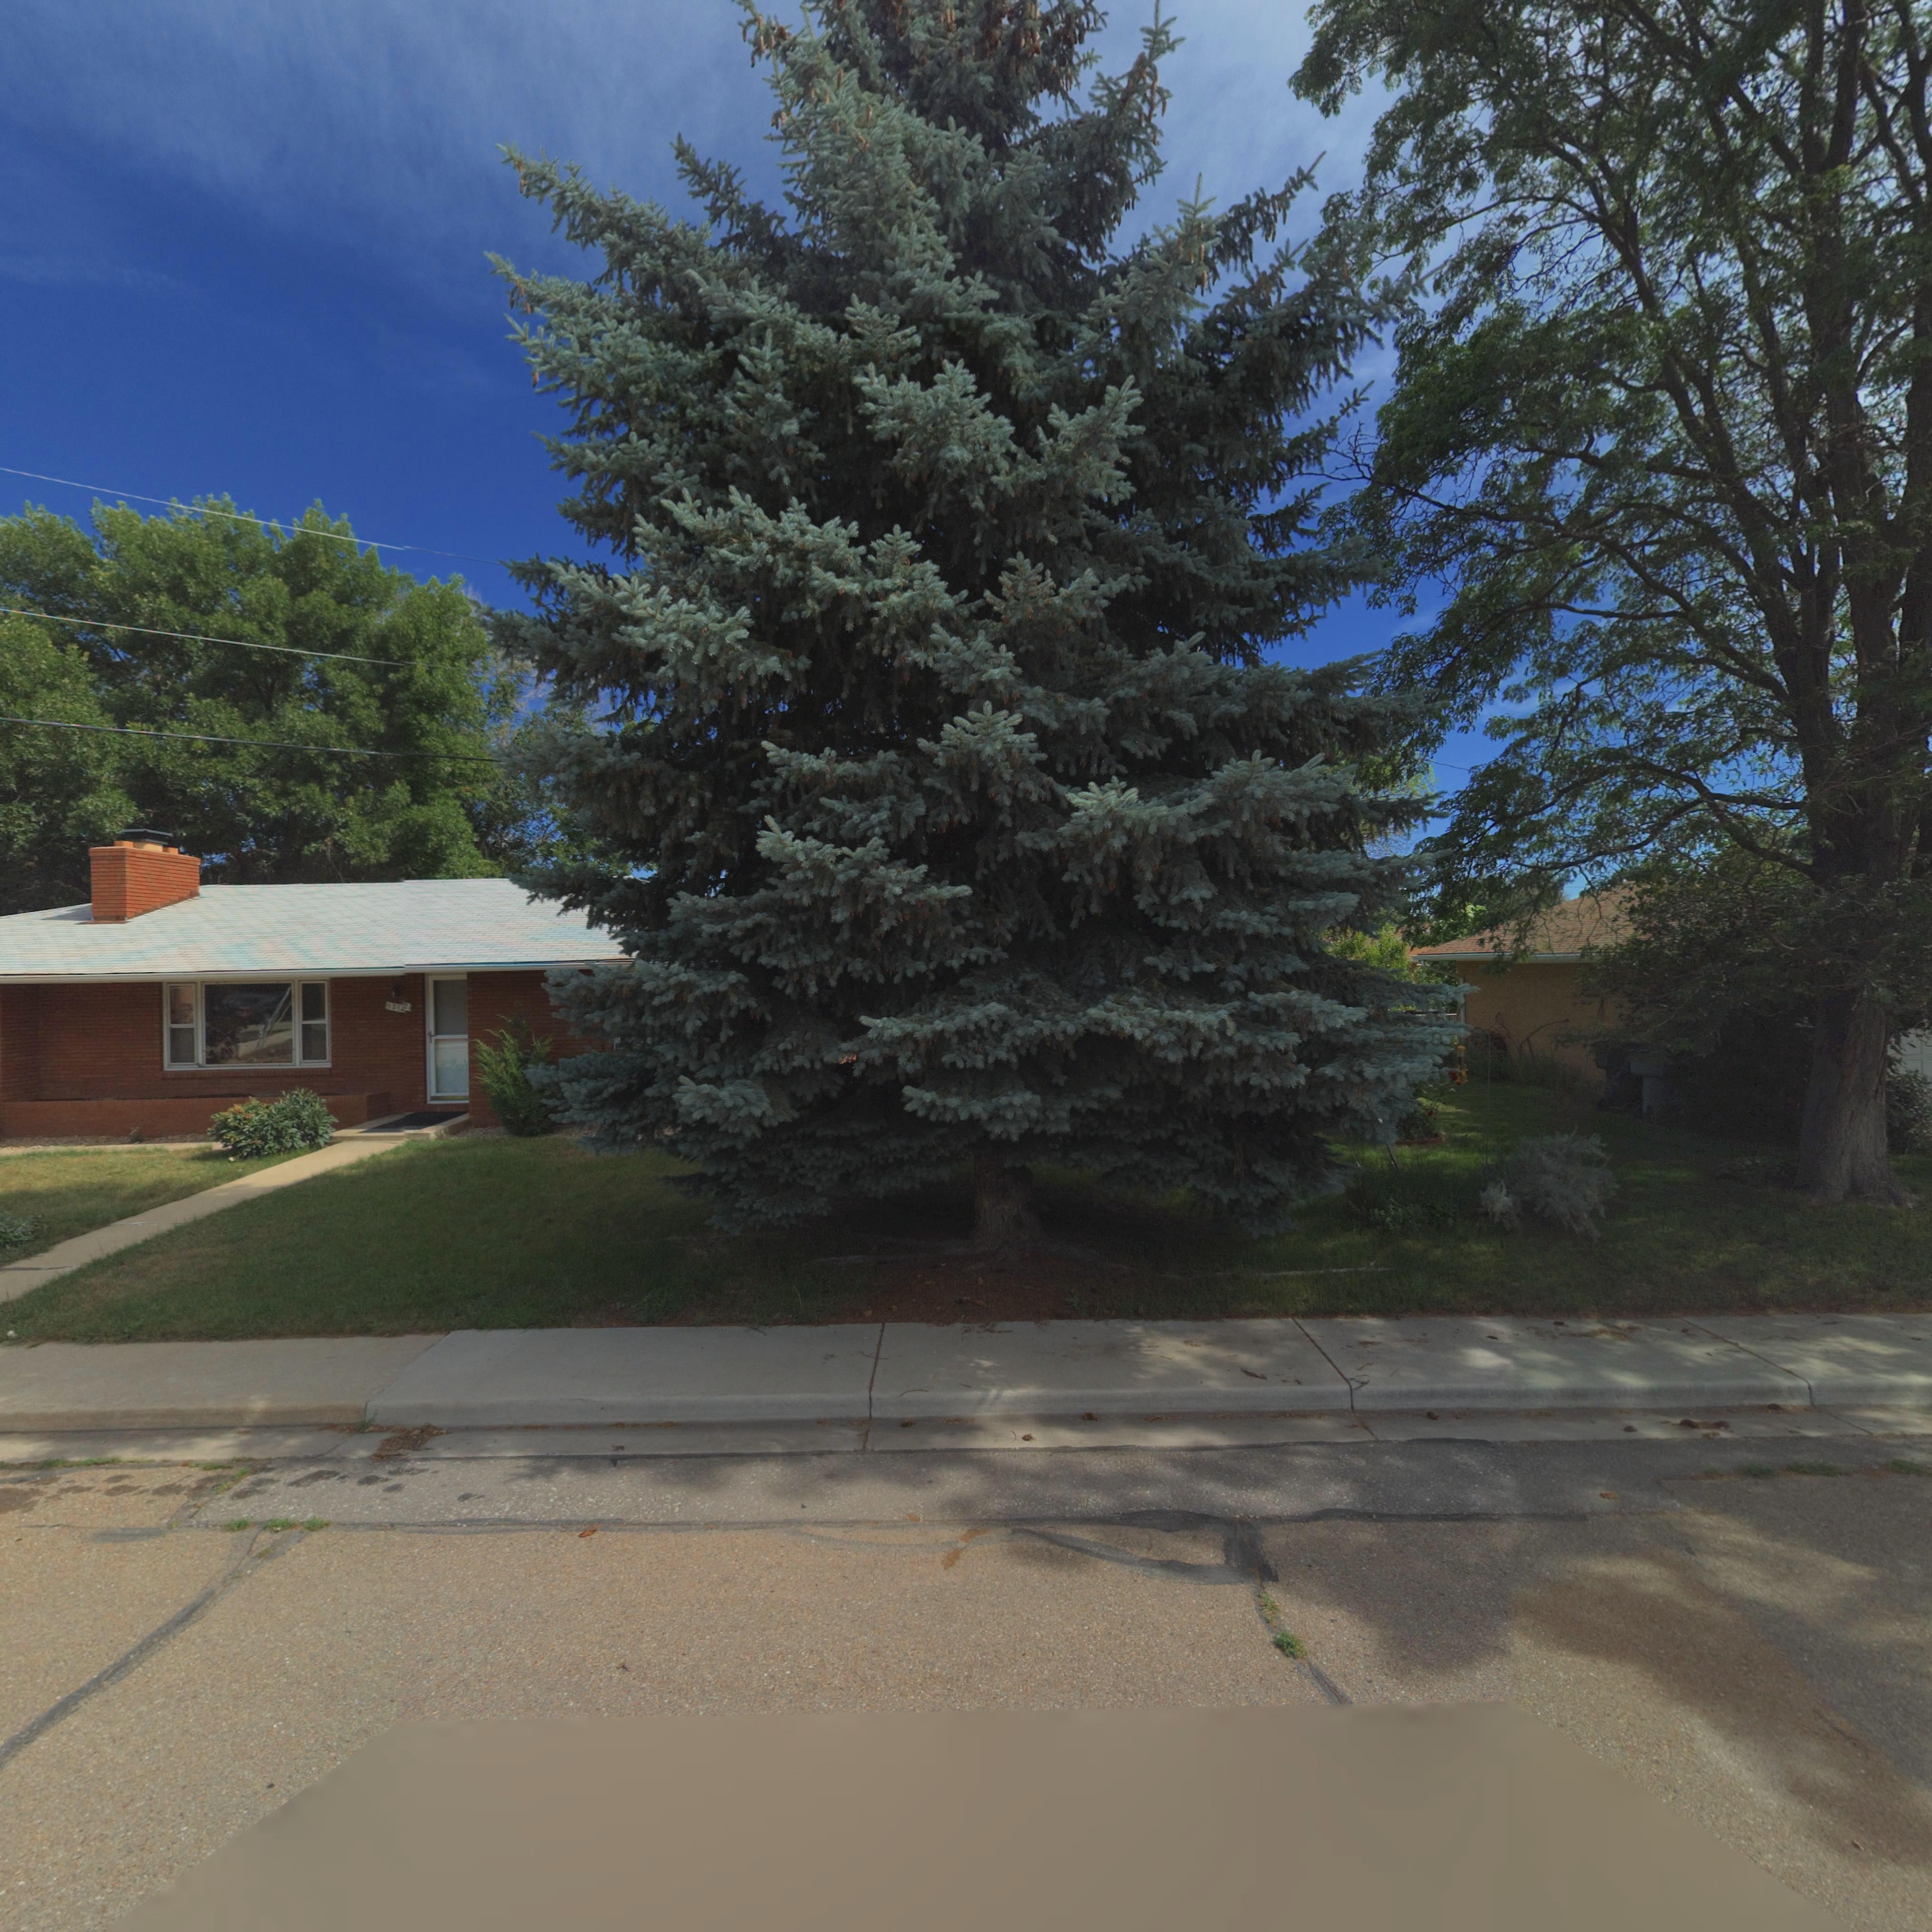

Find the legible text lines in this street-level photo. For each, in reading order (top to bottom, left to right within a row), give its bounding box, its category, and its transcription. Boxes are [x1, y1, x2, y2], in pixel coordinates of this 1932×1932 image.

[387, 1003, 408, 1011] BusinessName: 12*2